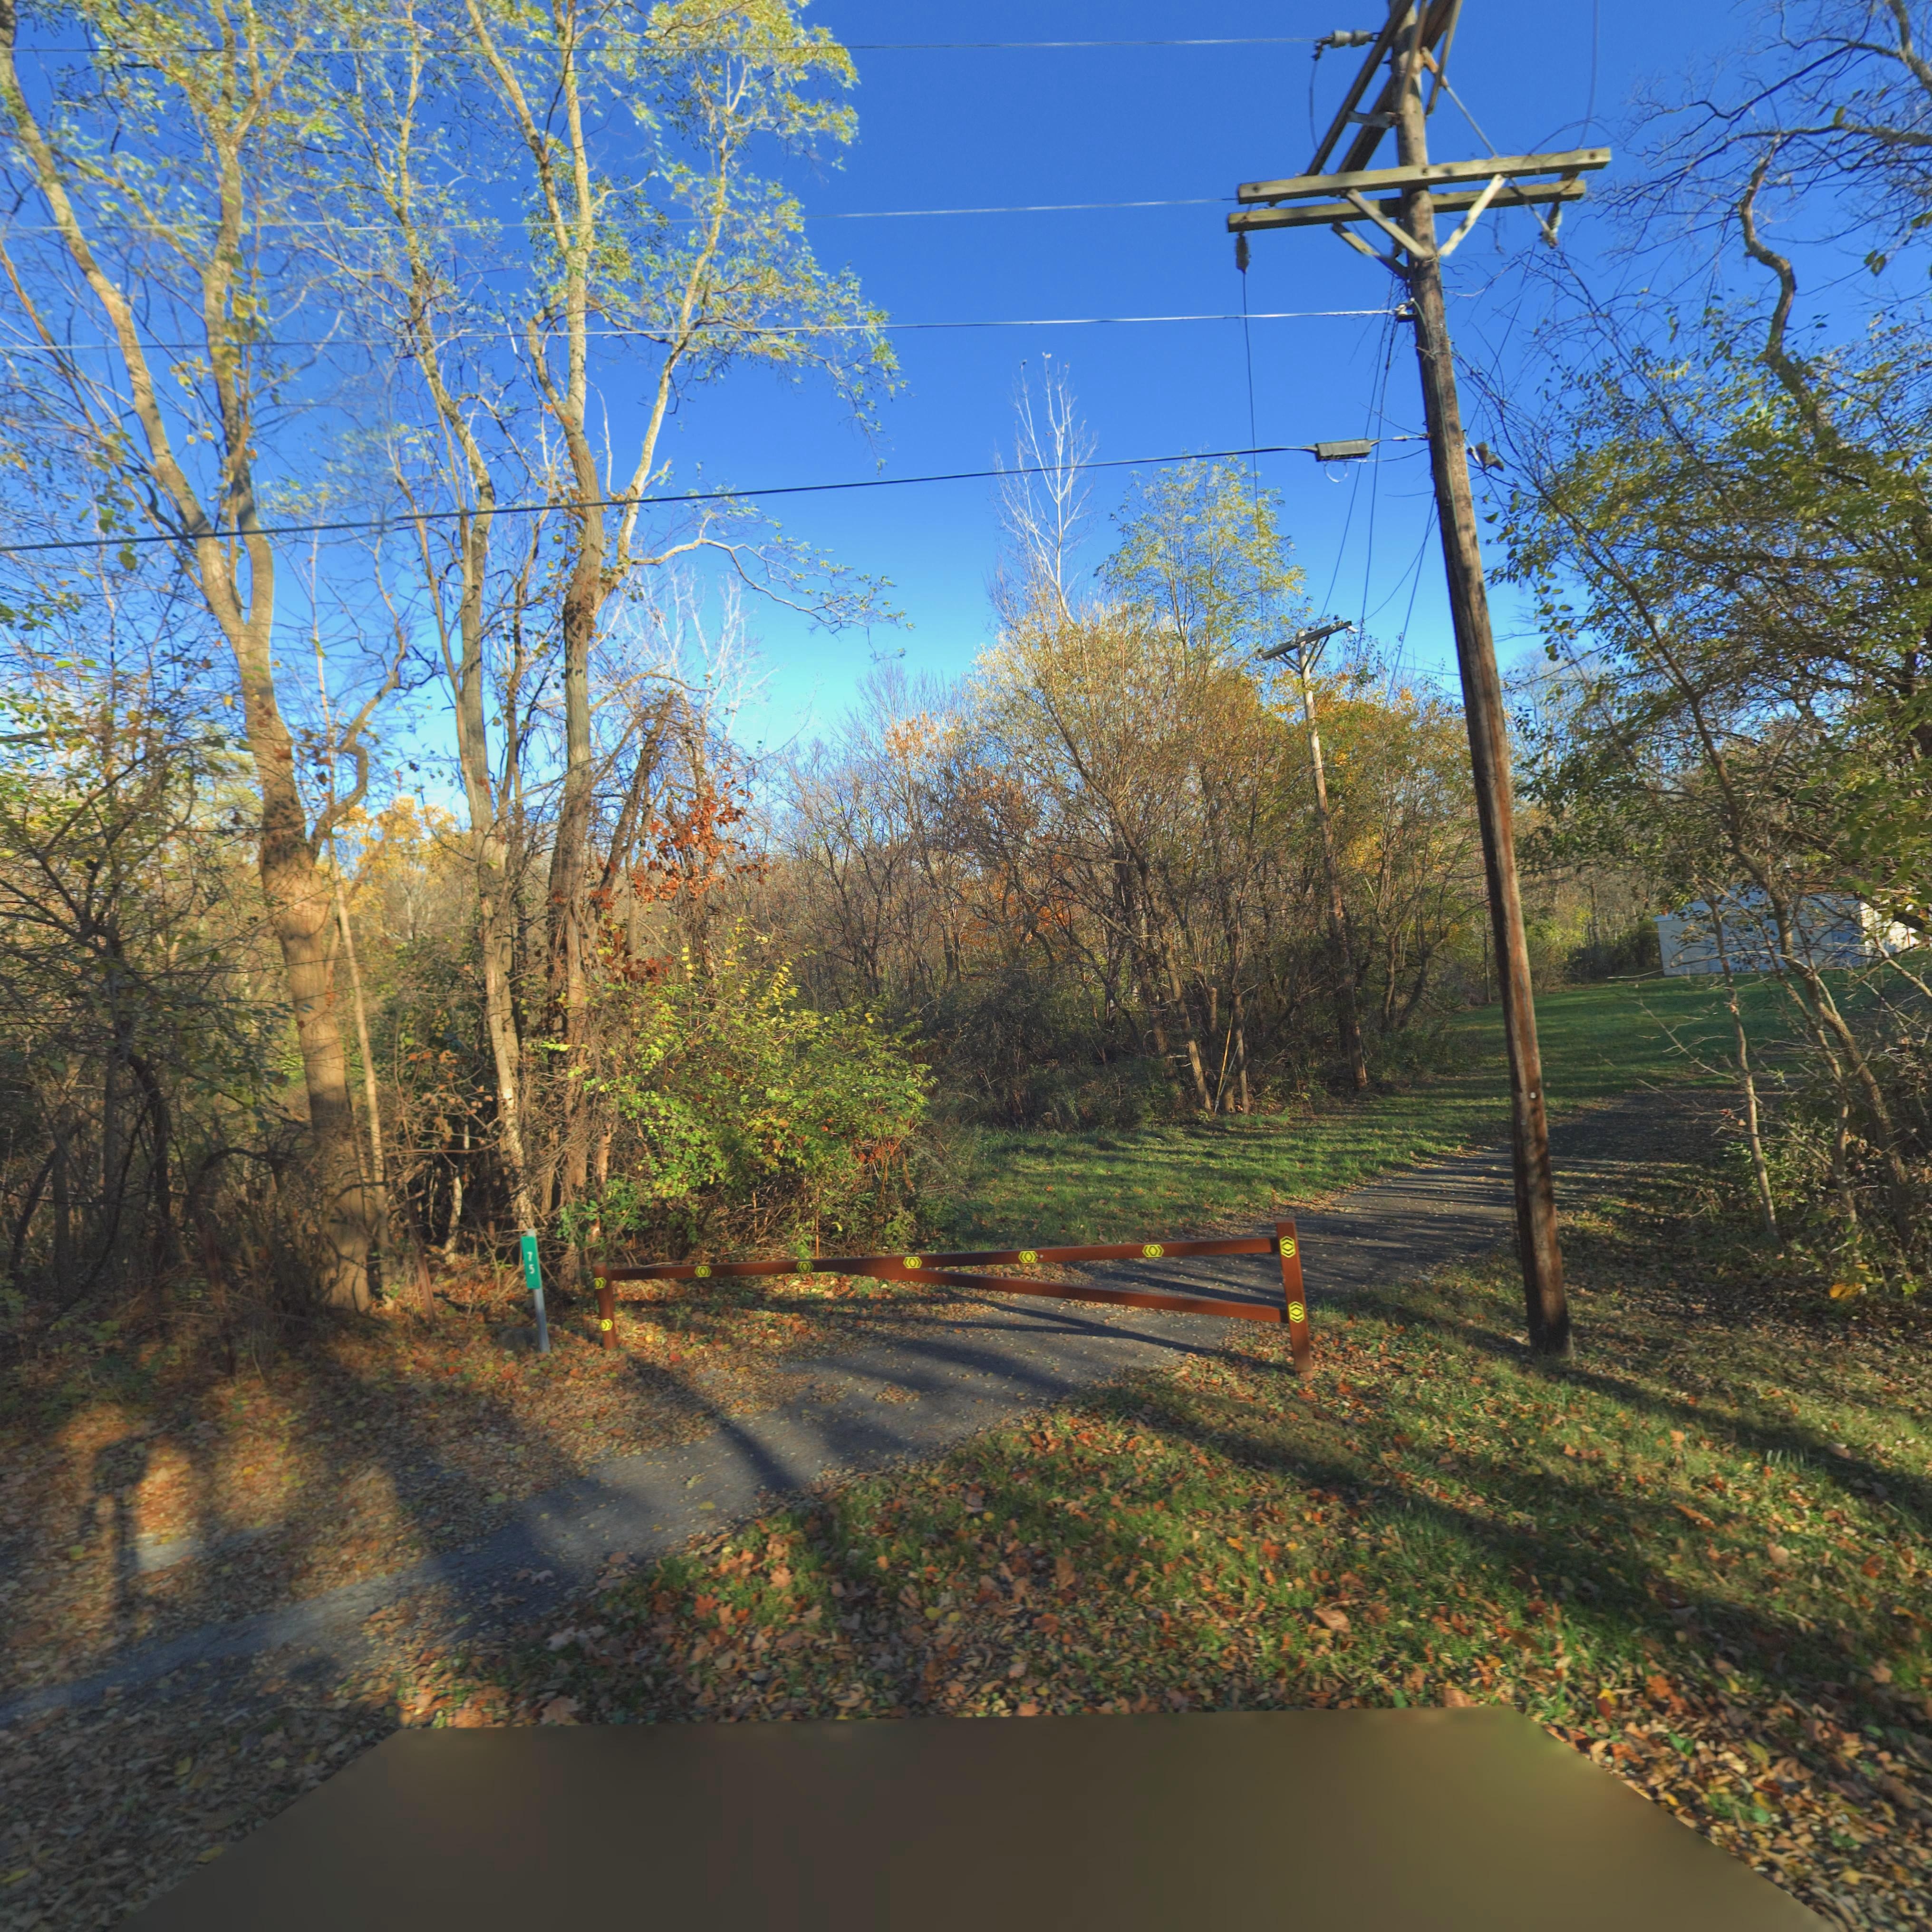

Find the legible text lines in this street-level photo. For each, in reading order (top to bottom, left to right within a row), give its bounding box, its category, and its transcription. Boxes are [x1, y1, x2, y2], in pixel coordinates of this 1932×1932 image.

[526, 1251, 536, 1275] StreetNumber: 75